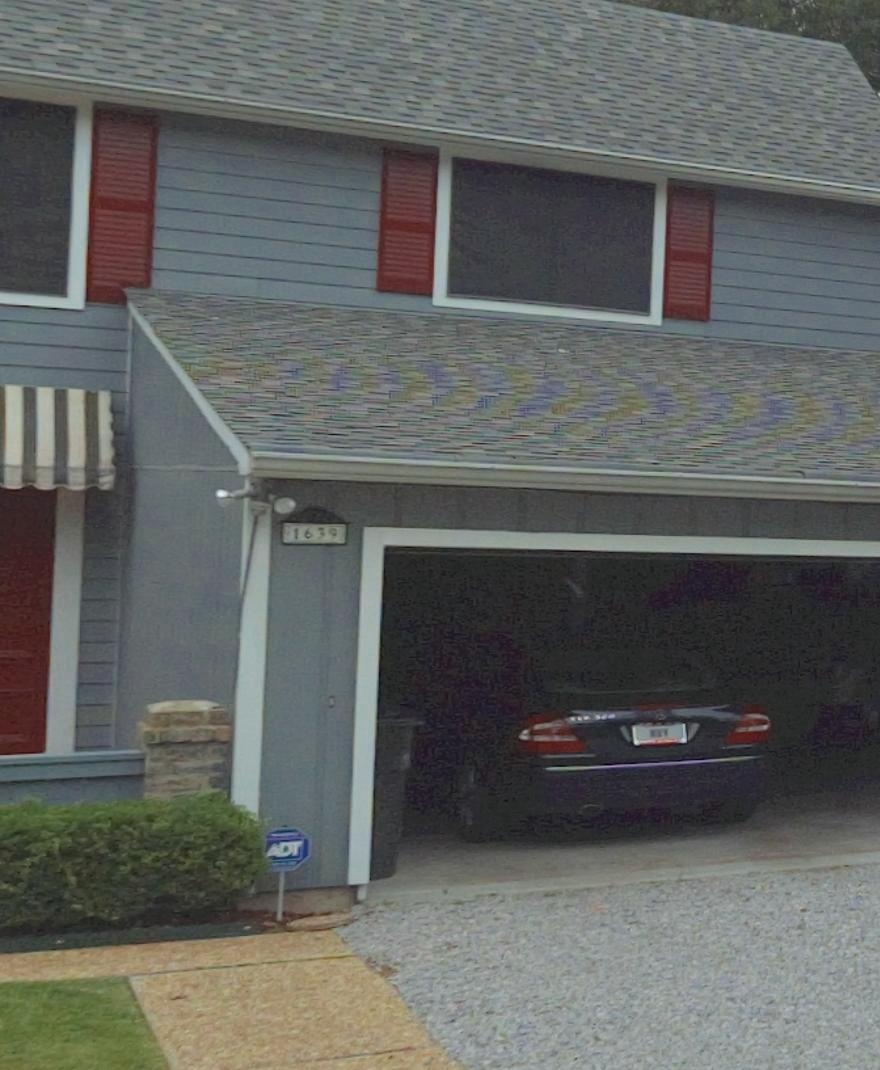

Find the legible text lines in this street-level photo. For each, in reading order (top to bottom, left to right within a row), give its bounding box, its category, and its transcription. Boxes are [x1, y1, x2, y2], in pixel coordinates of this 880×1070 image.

[290, 525, 339, 542] StreetNumber: 1639
[263, 840, 304, 858] None: ADT